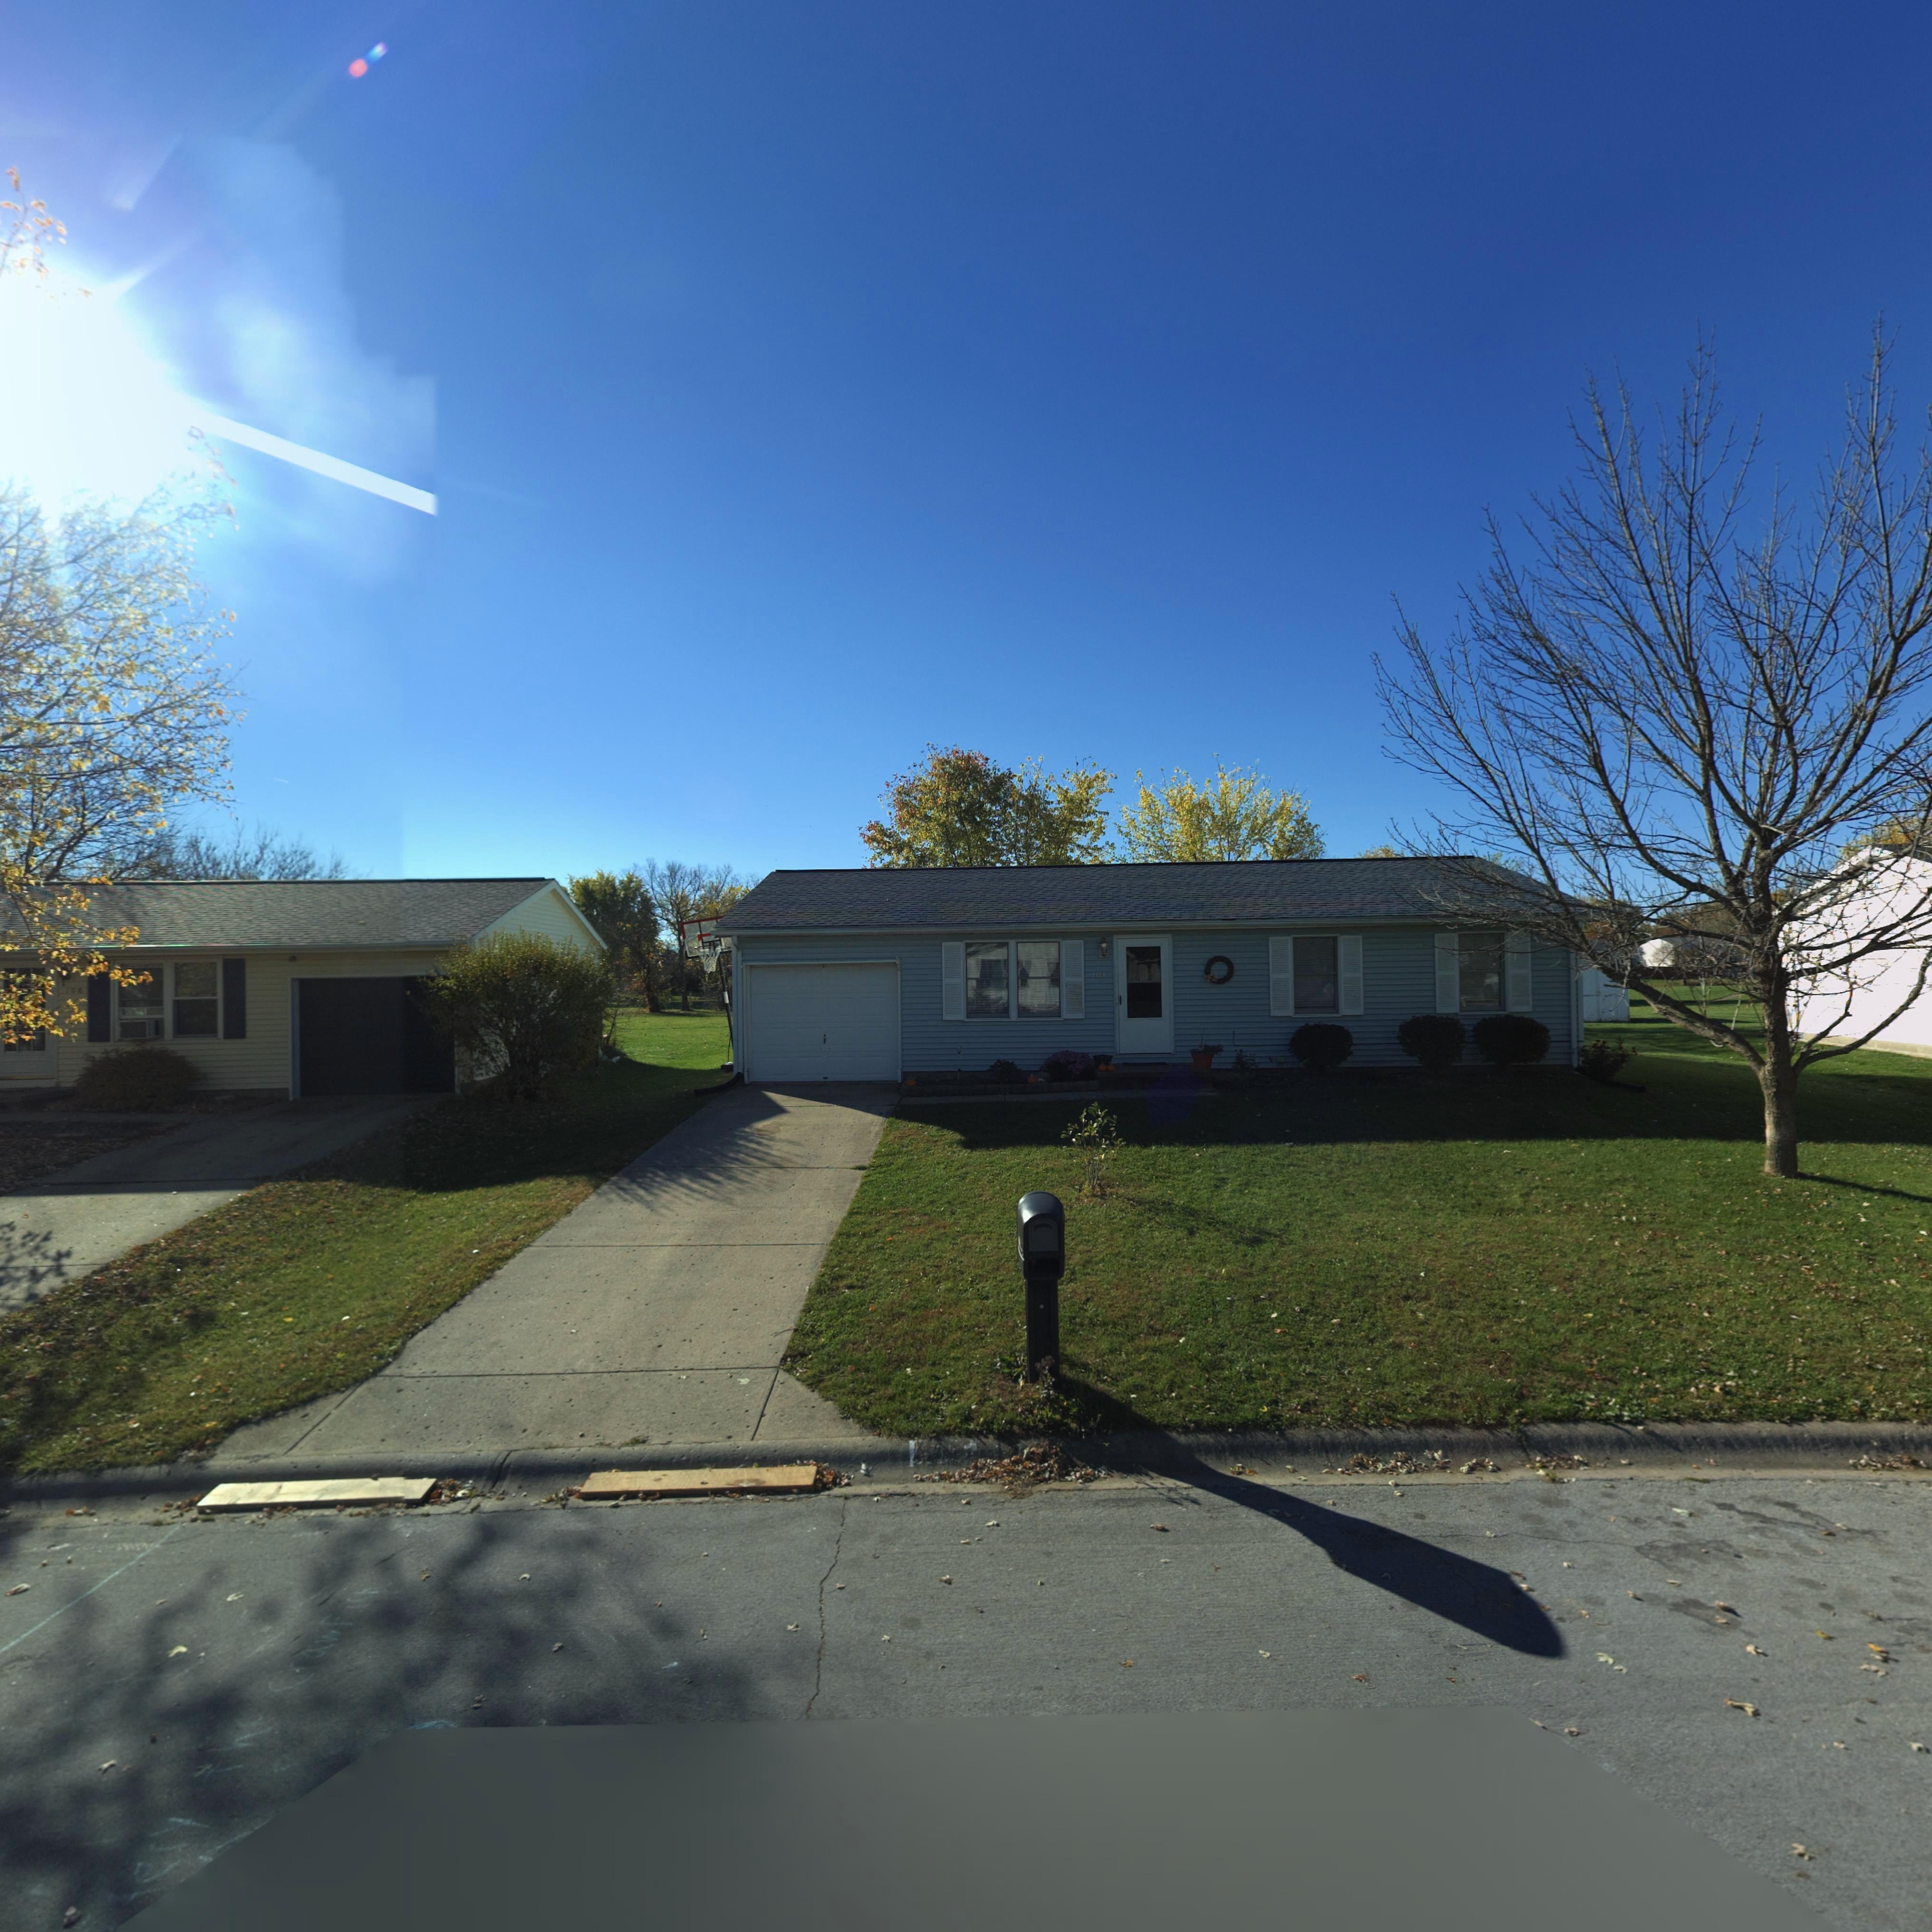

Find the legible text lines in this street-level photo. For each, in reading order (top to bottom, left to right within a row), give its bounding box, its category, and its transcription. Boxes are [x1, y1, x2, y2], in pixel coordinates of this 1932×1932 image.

[1092, 972, 1105, 978] StreetNumber: 104